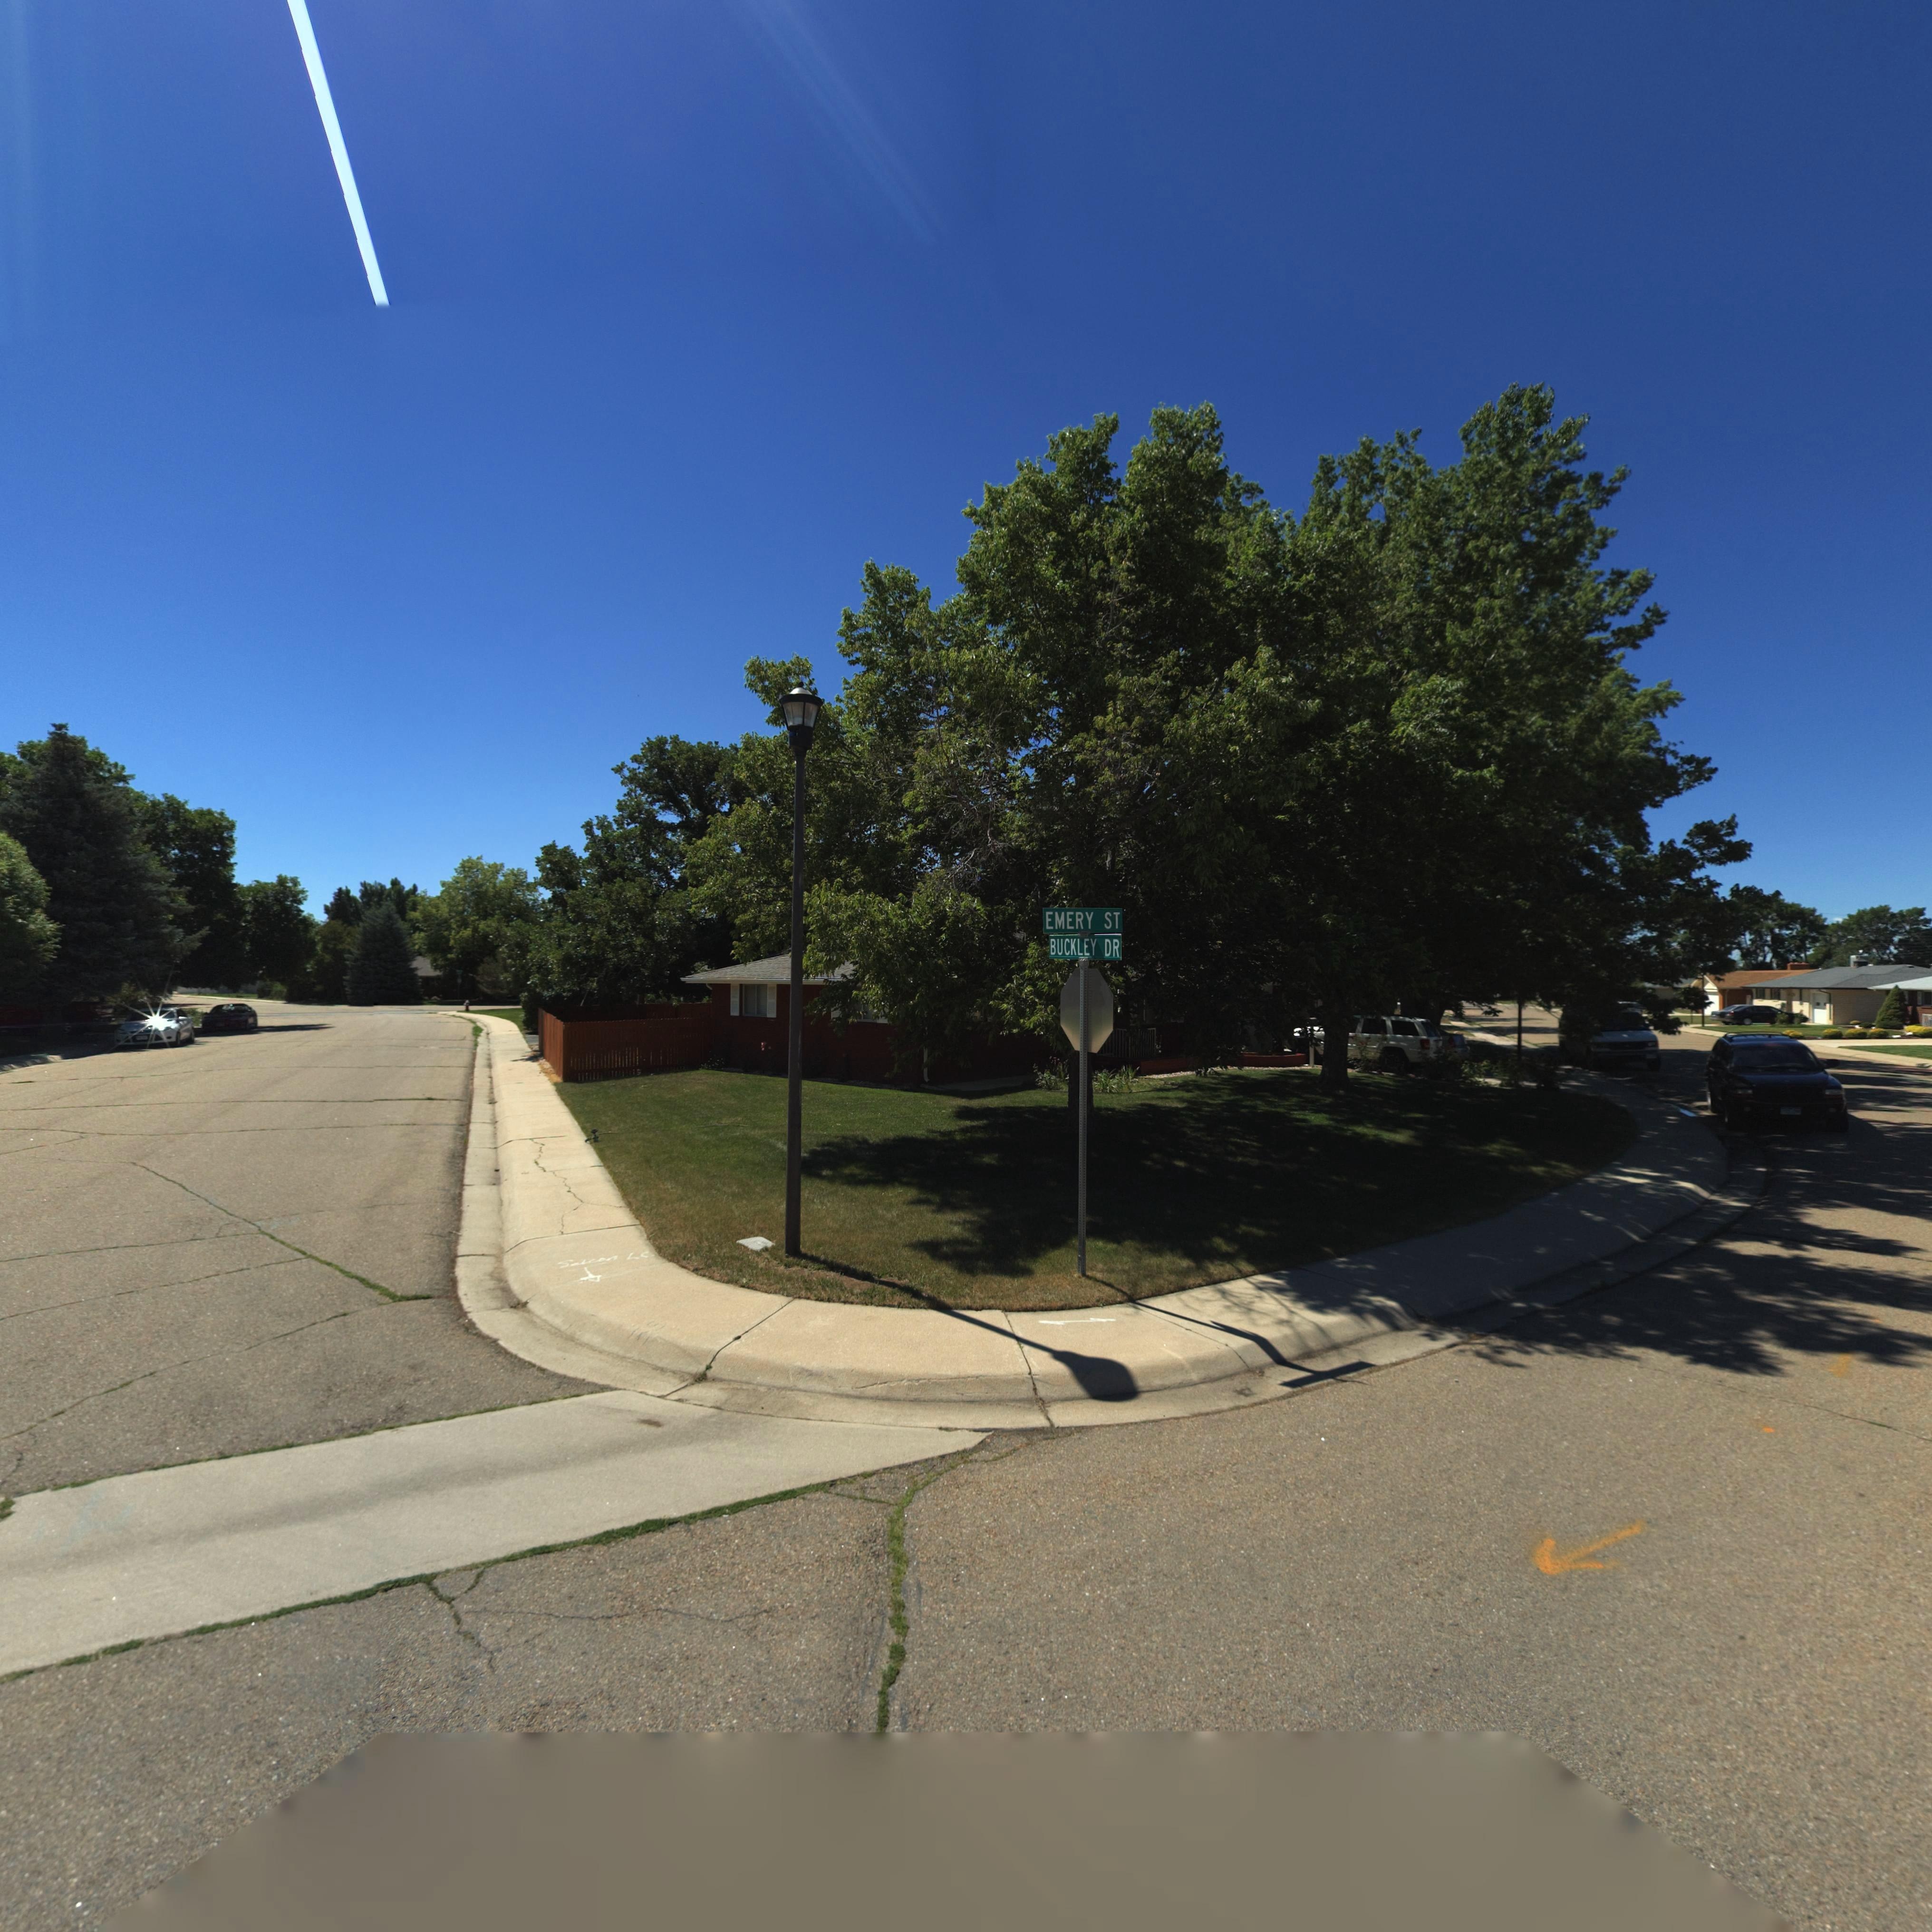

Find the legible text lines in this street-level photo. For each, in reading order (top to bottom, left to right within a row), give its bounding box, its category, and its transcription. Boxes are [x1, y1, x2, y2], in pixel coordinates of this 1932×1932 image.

[1045, 911, 1121, 930] StreetName: EMERY ST
[1050, 938, 1120, 958] StreetName: BUCKLEY DR